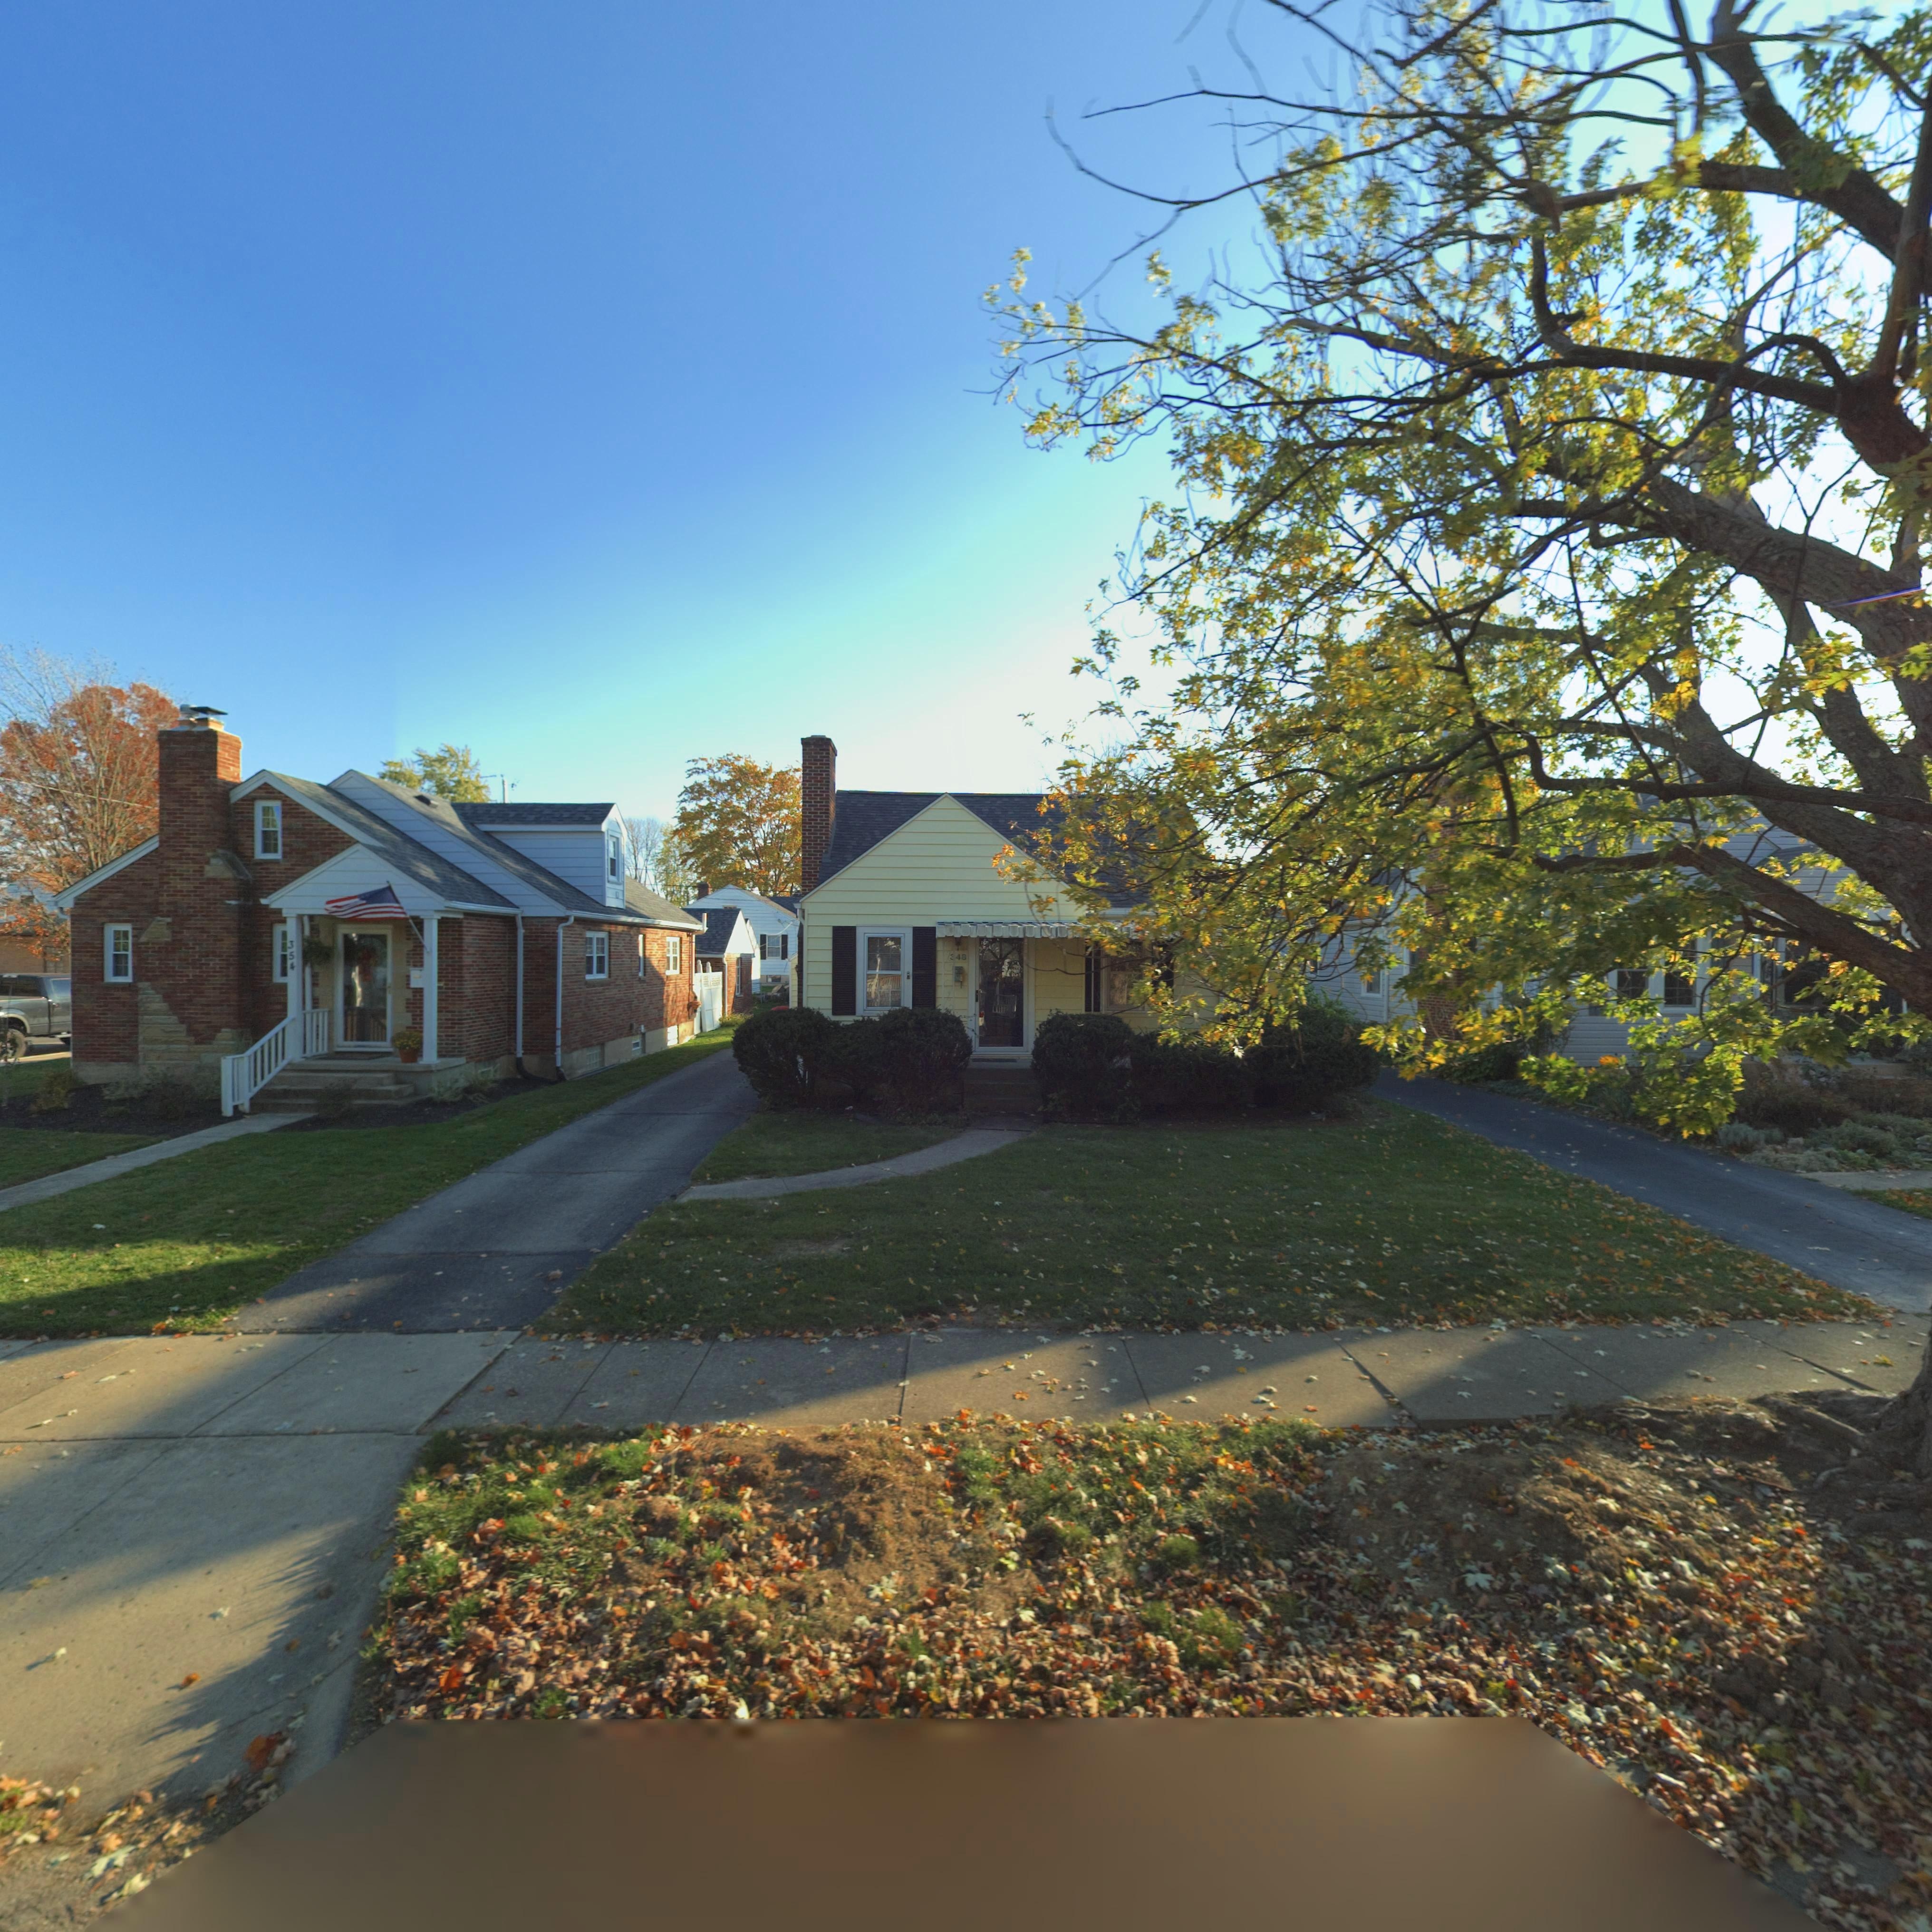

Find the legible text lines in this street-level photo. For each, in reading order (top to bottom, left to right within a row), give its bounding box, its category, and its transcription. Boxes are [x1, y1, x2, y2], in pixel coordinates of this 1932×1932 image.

[286, 939, 297, 973] StreetNumber: 354
[955, 953, 967, 961] StreetNumber: 48